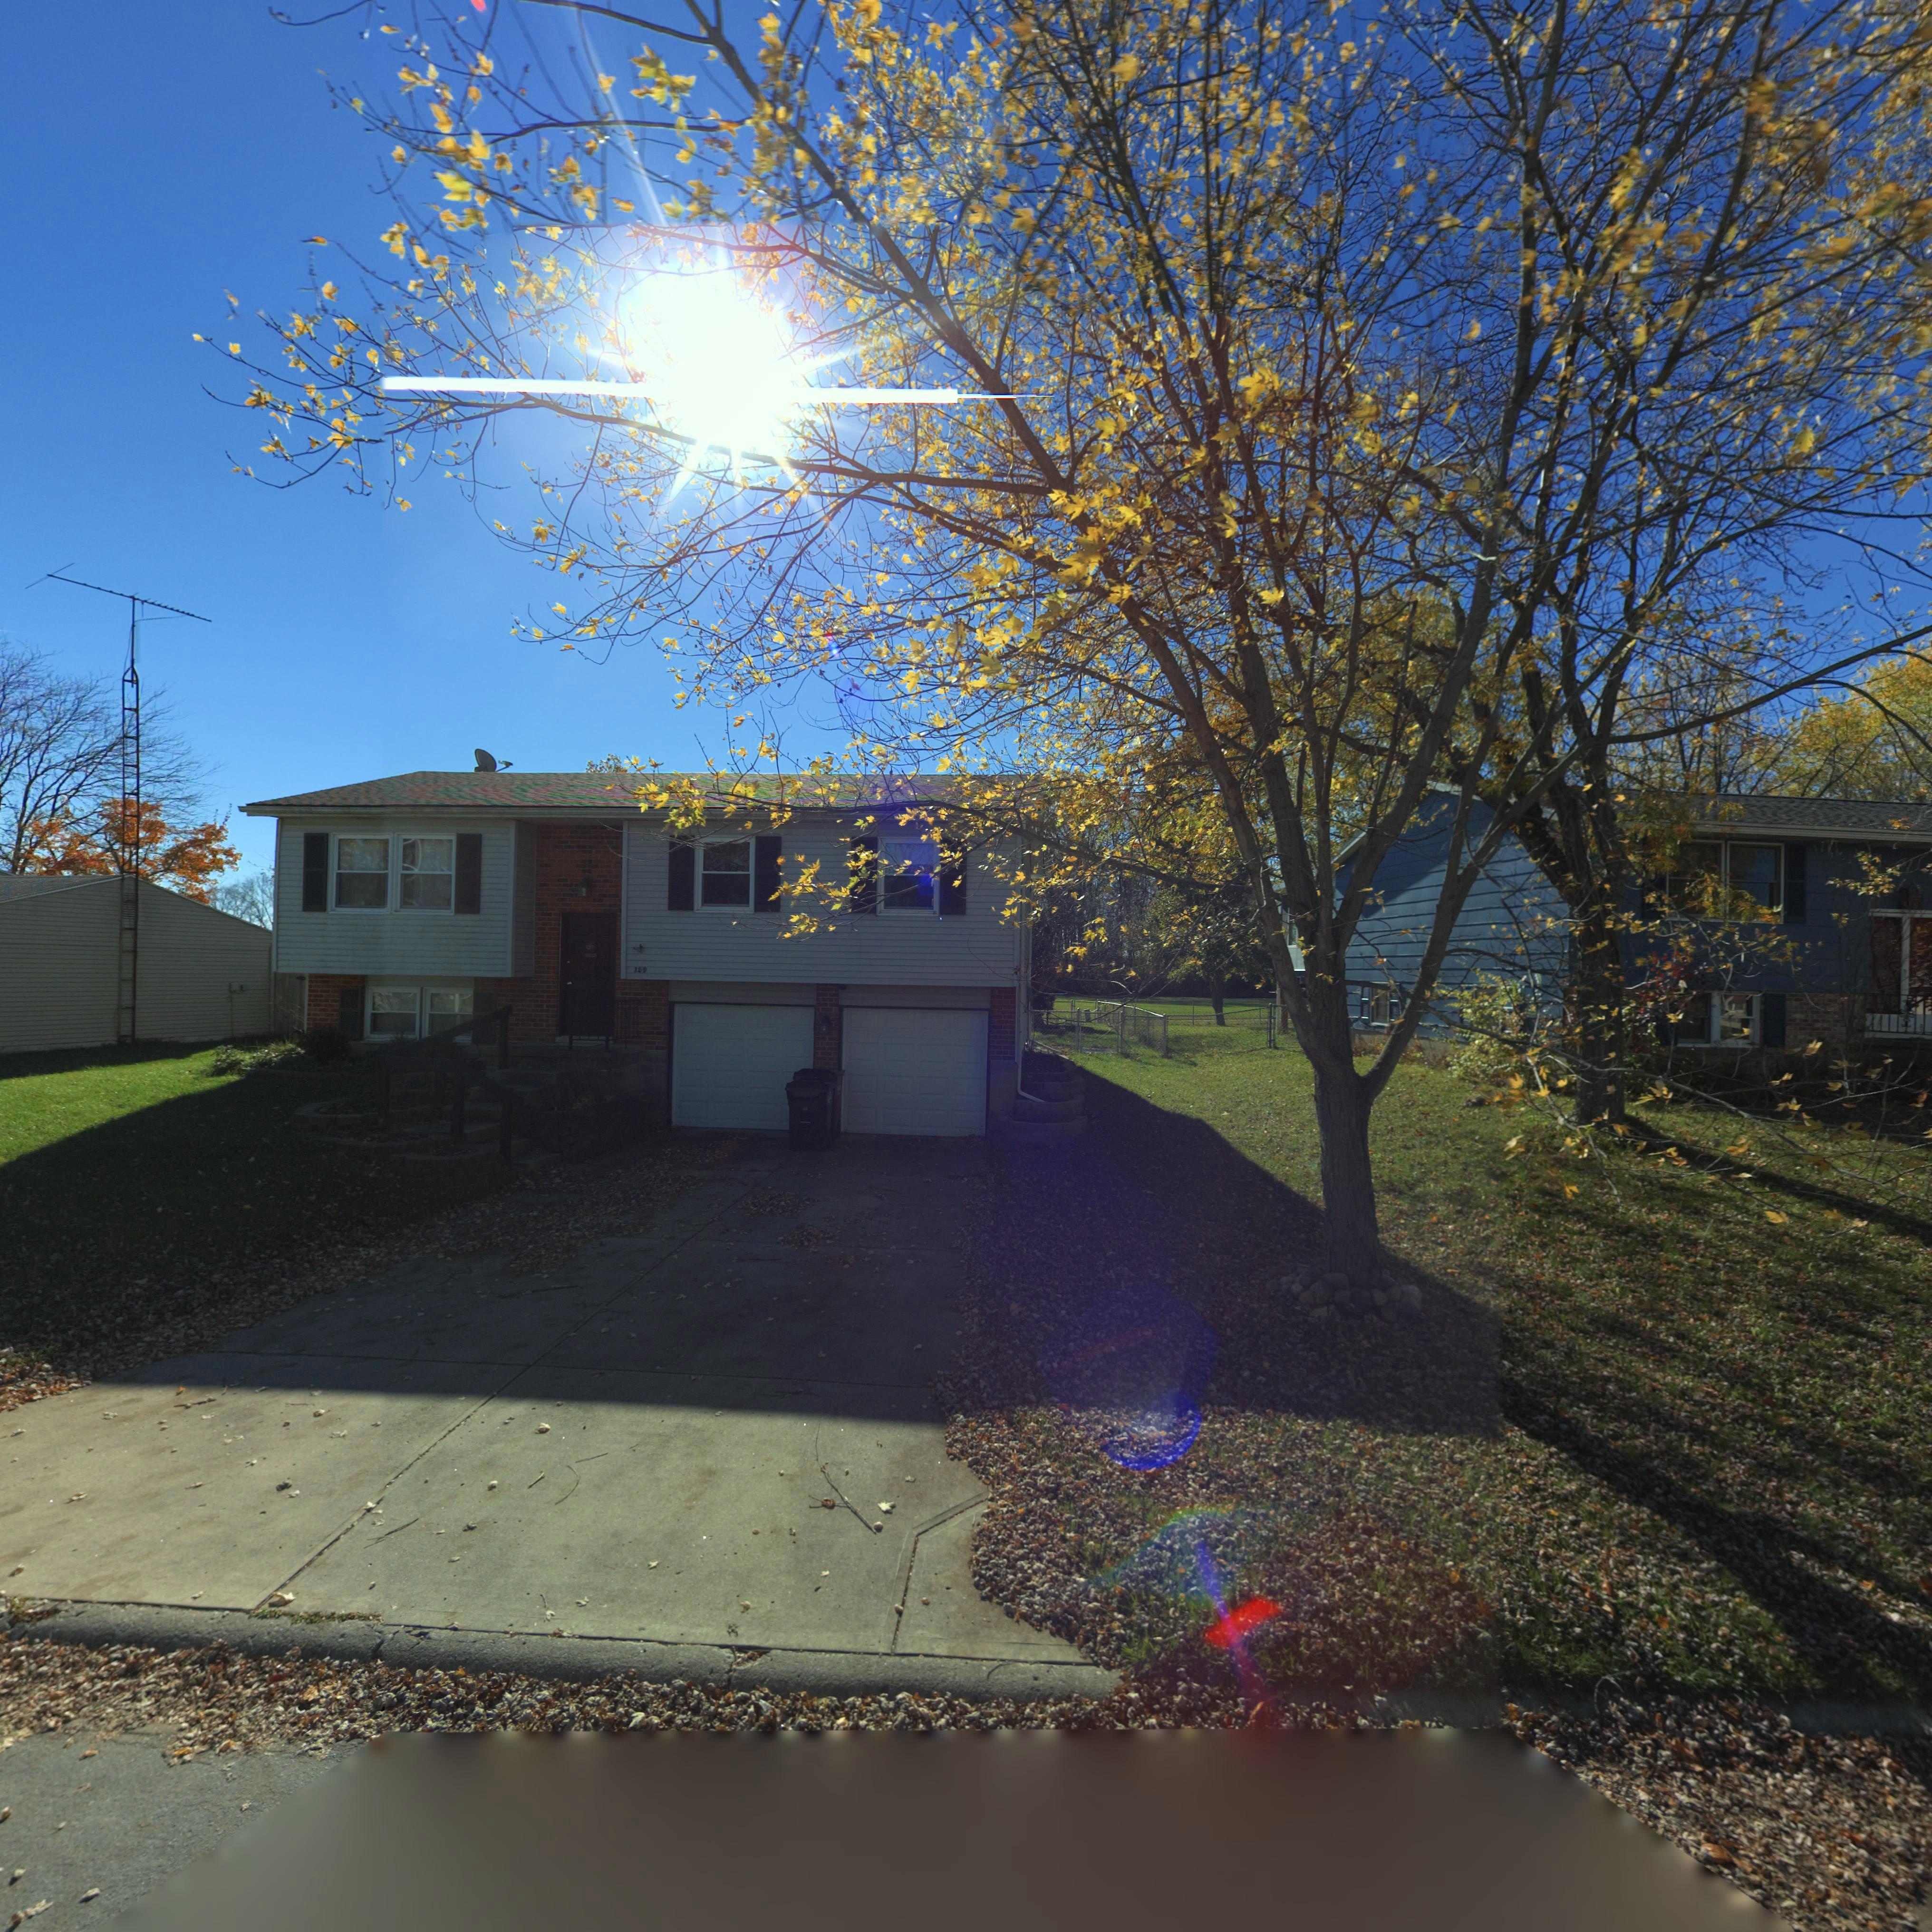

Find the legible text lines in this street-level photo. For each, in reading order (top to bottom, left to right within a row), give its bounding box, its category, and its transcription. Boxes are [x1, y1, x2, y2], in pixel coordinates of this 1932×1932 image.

[633, 965, 648, 974] StreetNumber: 1*9